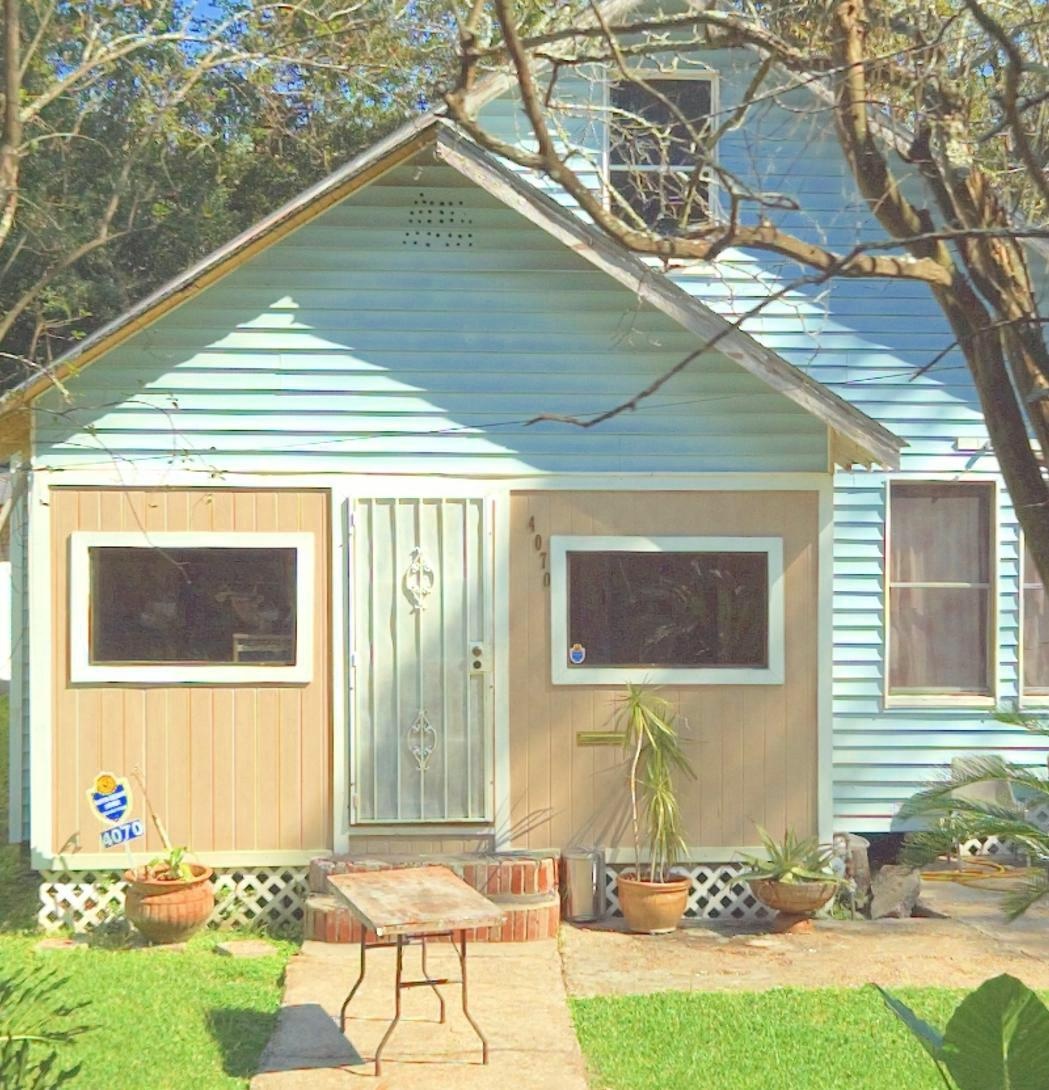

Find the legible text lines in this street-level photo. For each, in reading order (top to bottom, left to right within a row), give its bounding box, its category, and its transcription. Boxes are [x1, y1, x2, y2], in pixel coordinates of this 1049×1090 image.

[526, 514, 553, 590] StreetNumber: 4070
[100, 819, 146, 848] StreetNumber: 4070